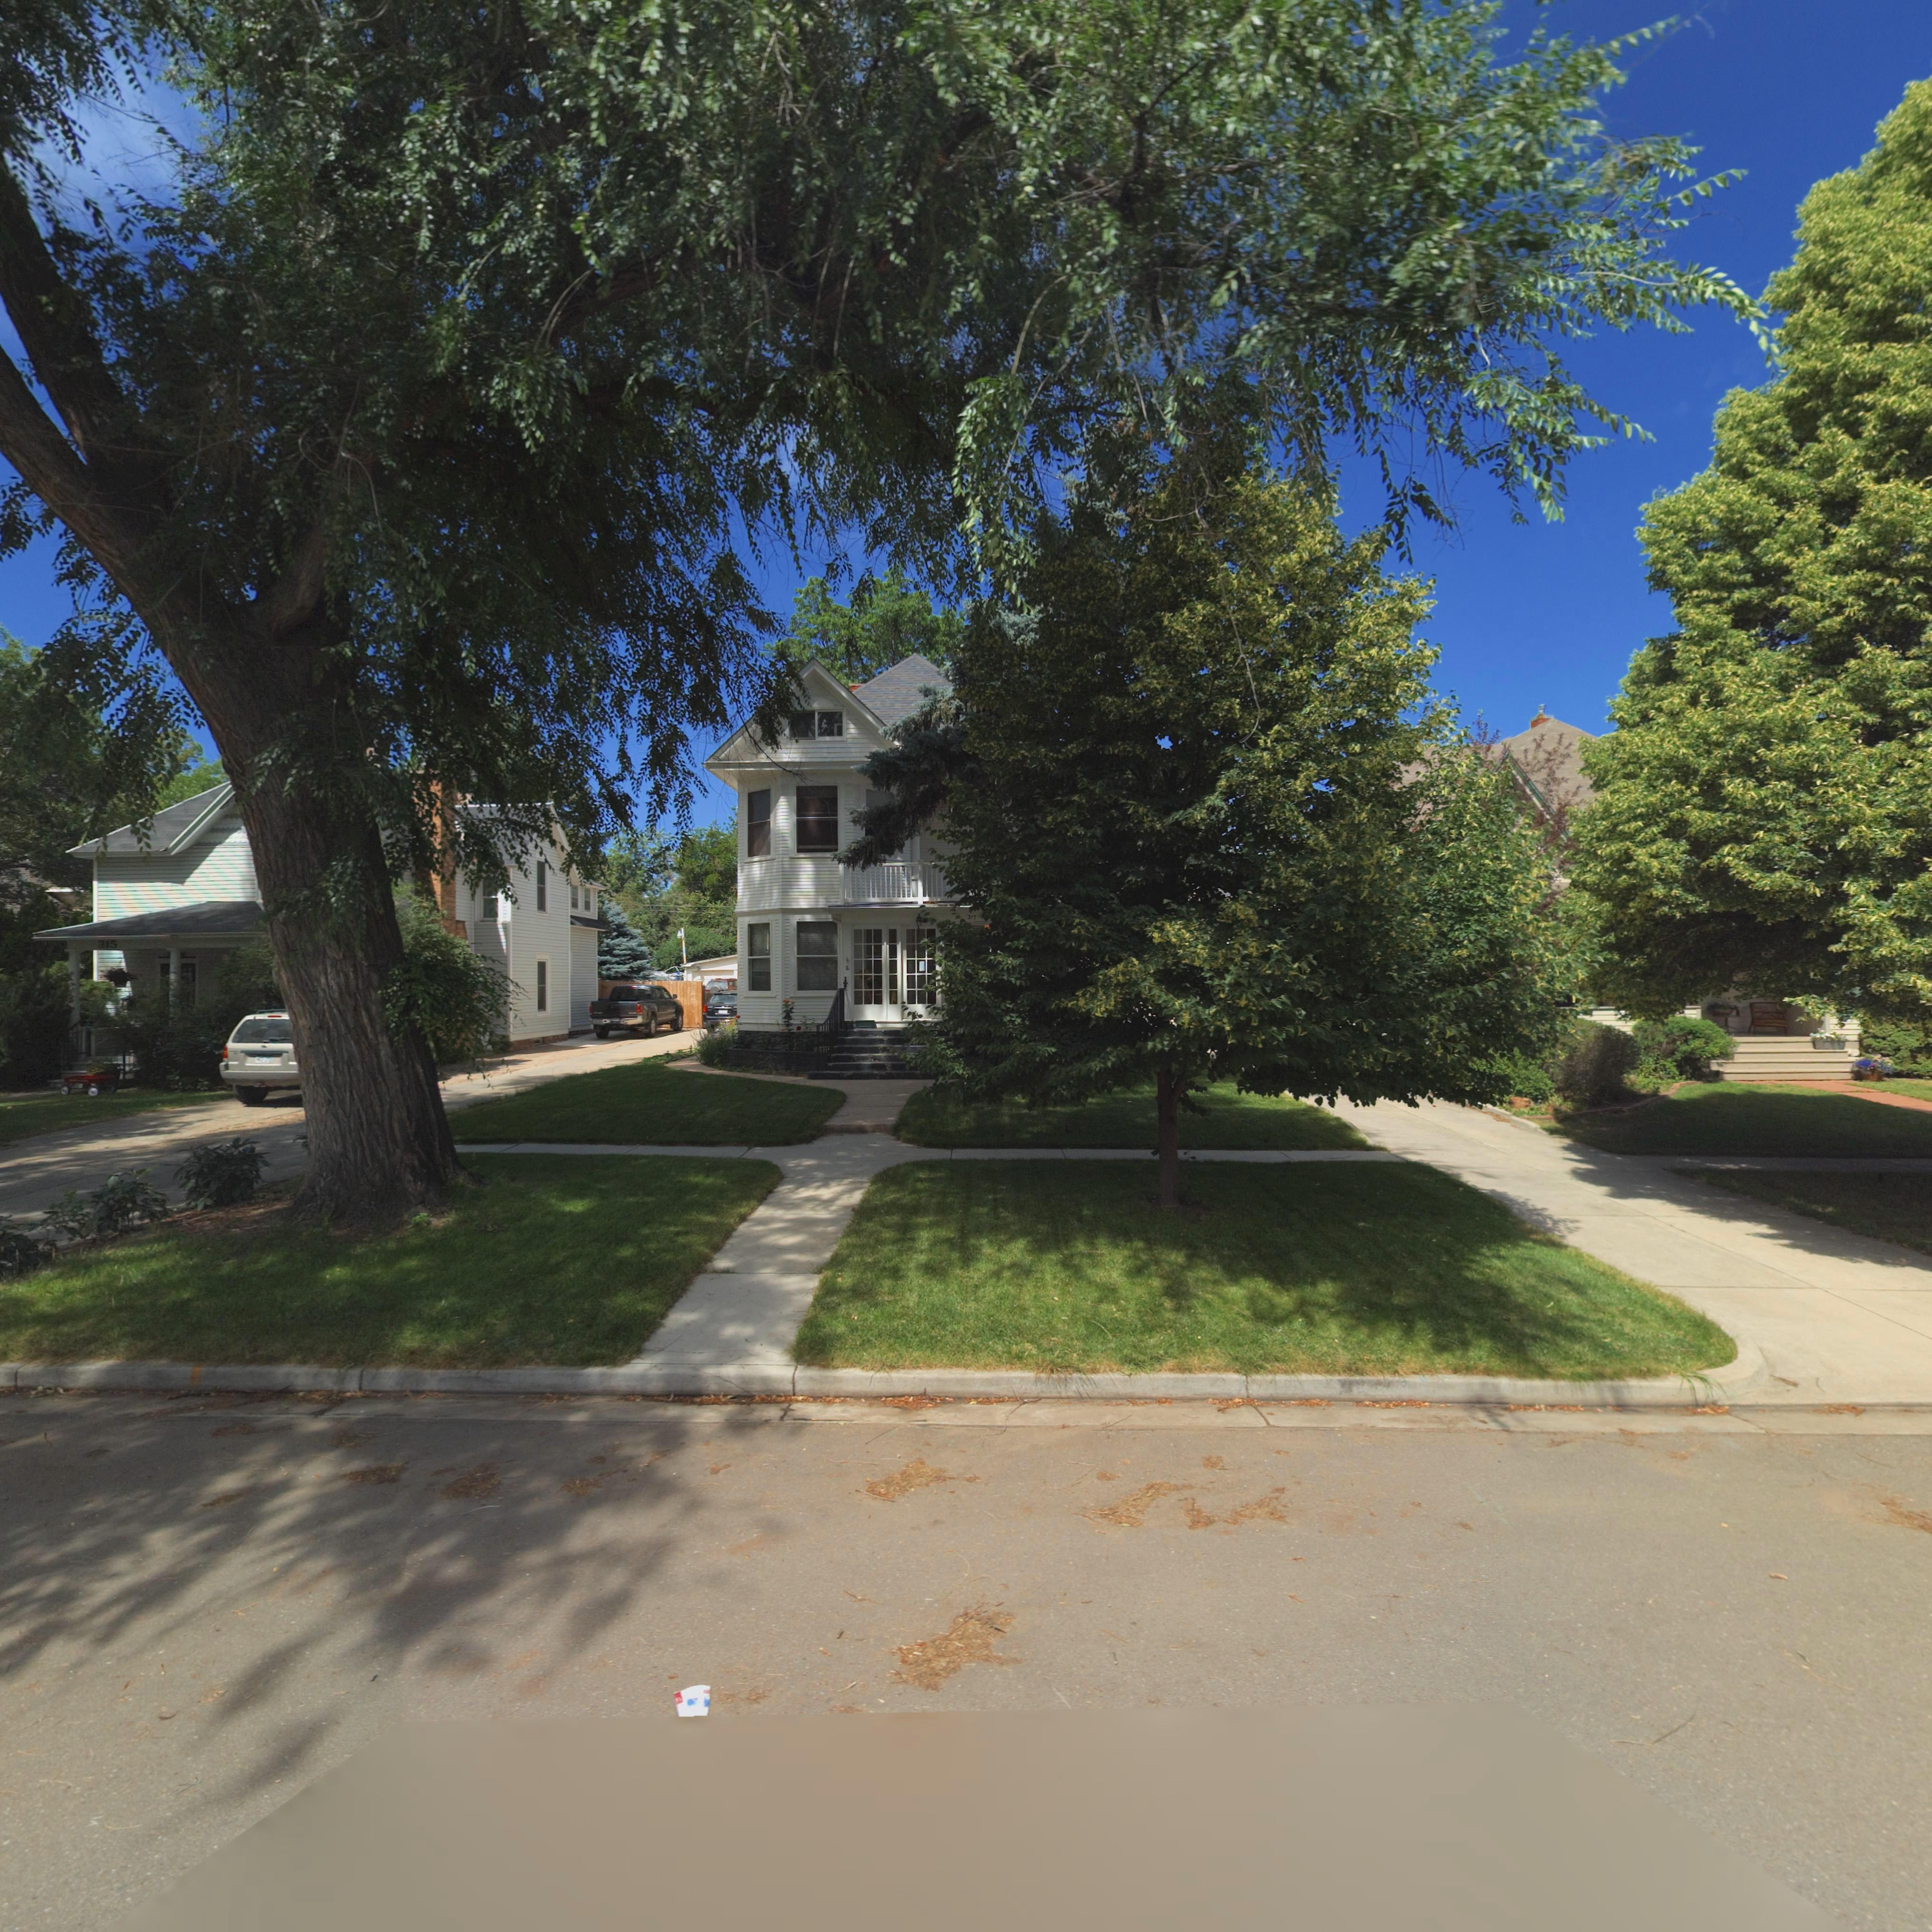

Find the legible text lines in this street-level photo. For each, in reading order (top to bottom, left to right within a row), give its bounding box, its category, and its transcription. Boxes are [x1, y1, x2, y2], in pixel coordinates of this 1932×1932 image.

[966, 915, 977, 919] StreetNumber: 317
[97, 940, 117, 948] StreetNumber: 315